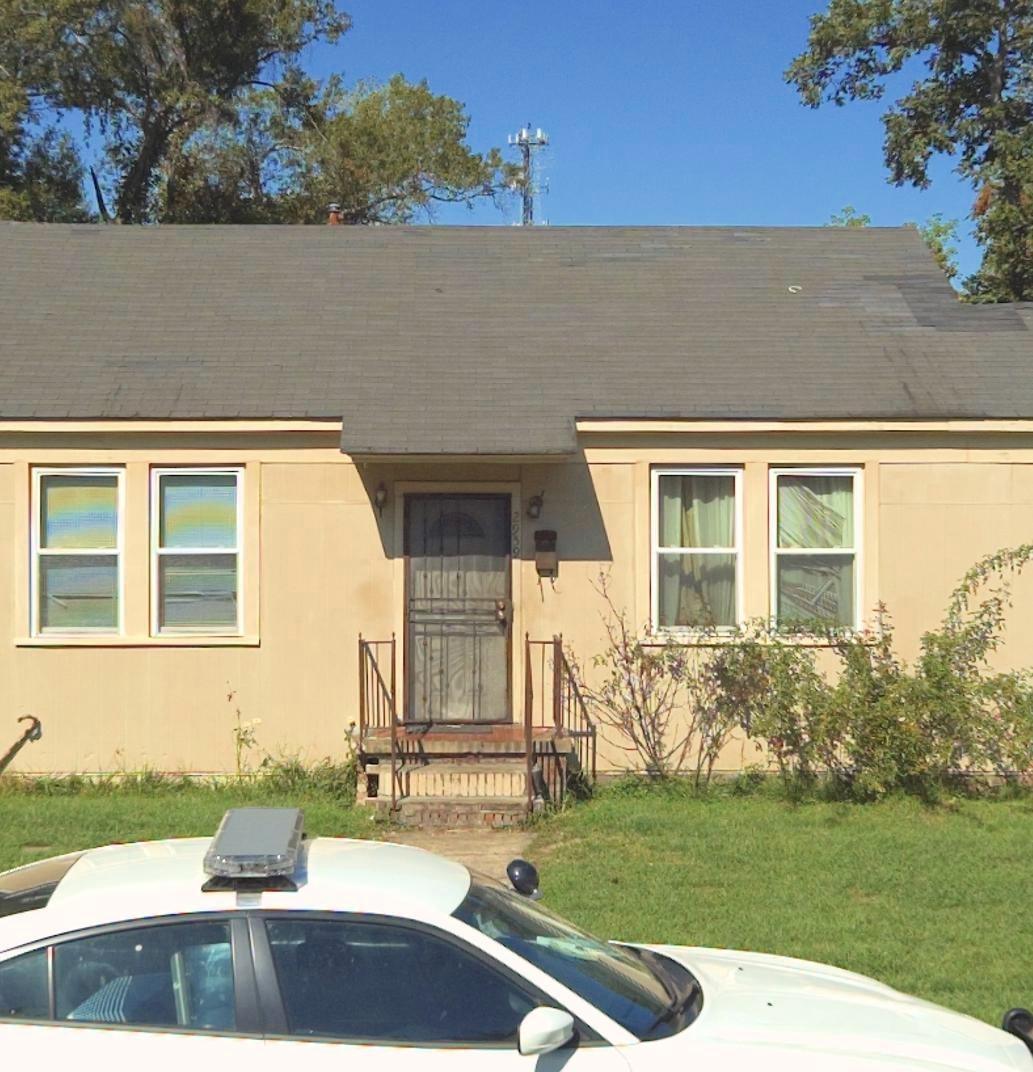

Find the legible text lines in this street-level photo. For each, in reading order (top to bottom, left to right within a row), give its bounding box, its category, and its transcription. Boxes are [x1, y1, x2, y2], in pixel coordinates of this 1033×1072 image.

[512, 511, 521, 559] StreetNumber: 2959